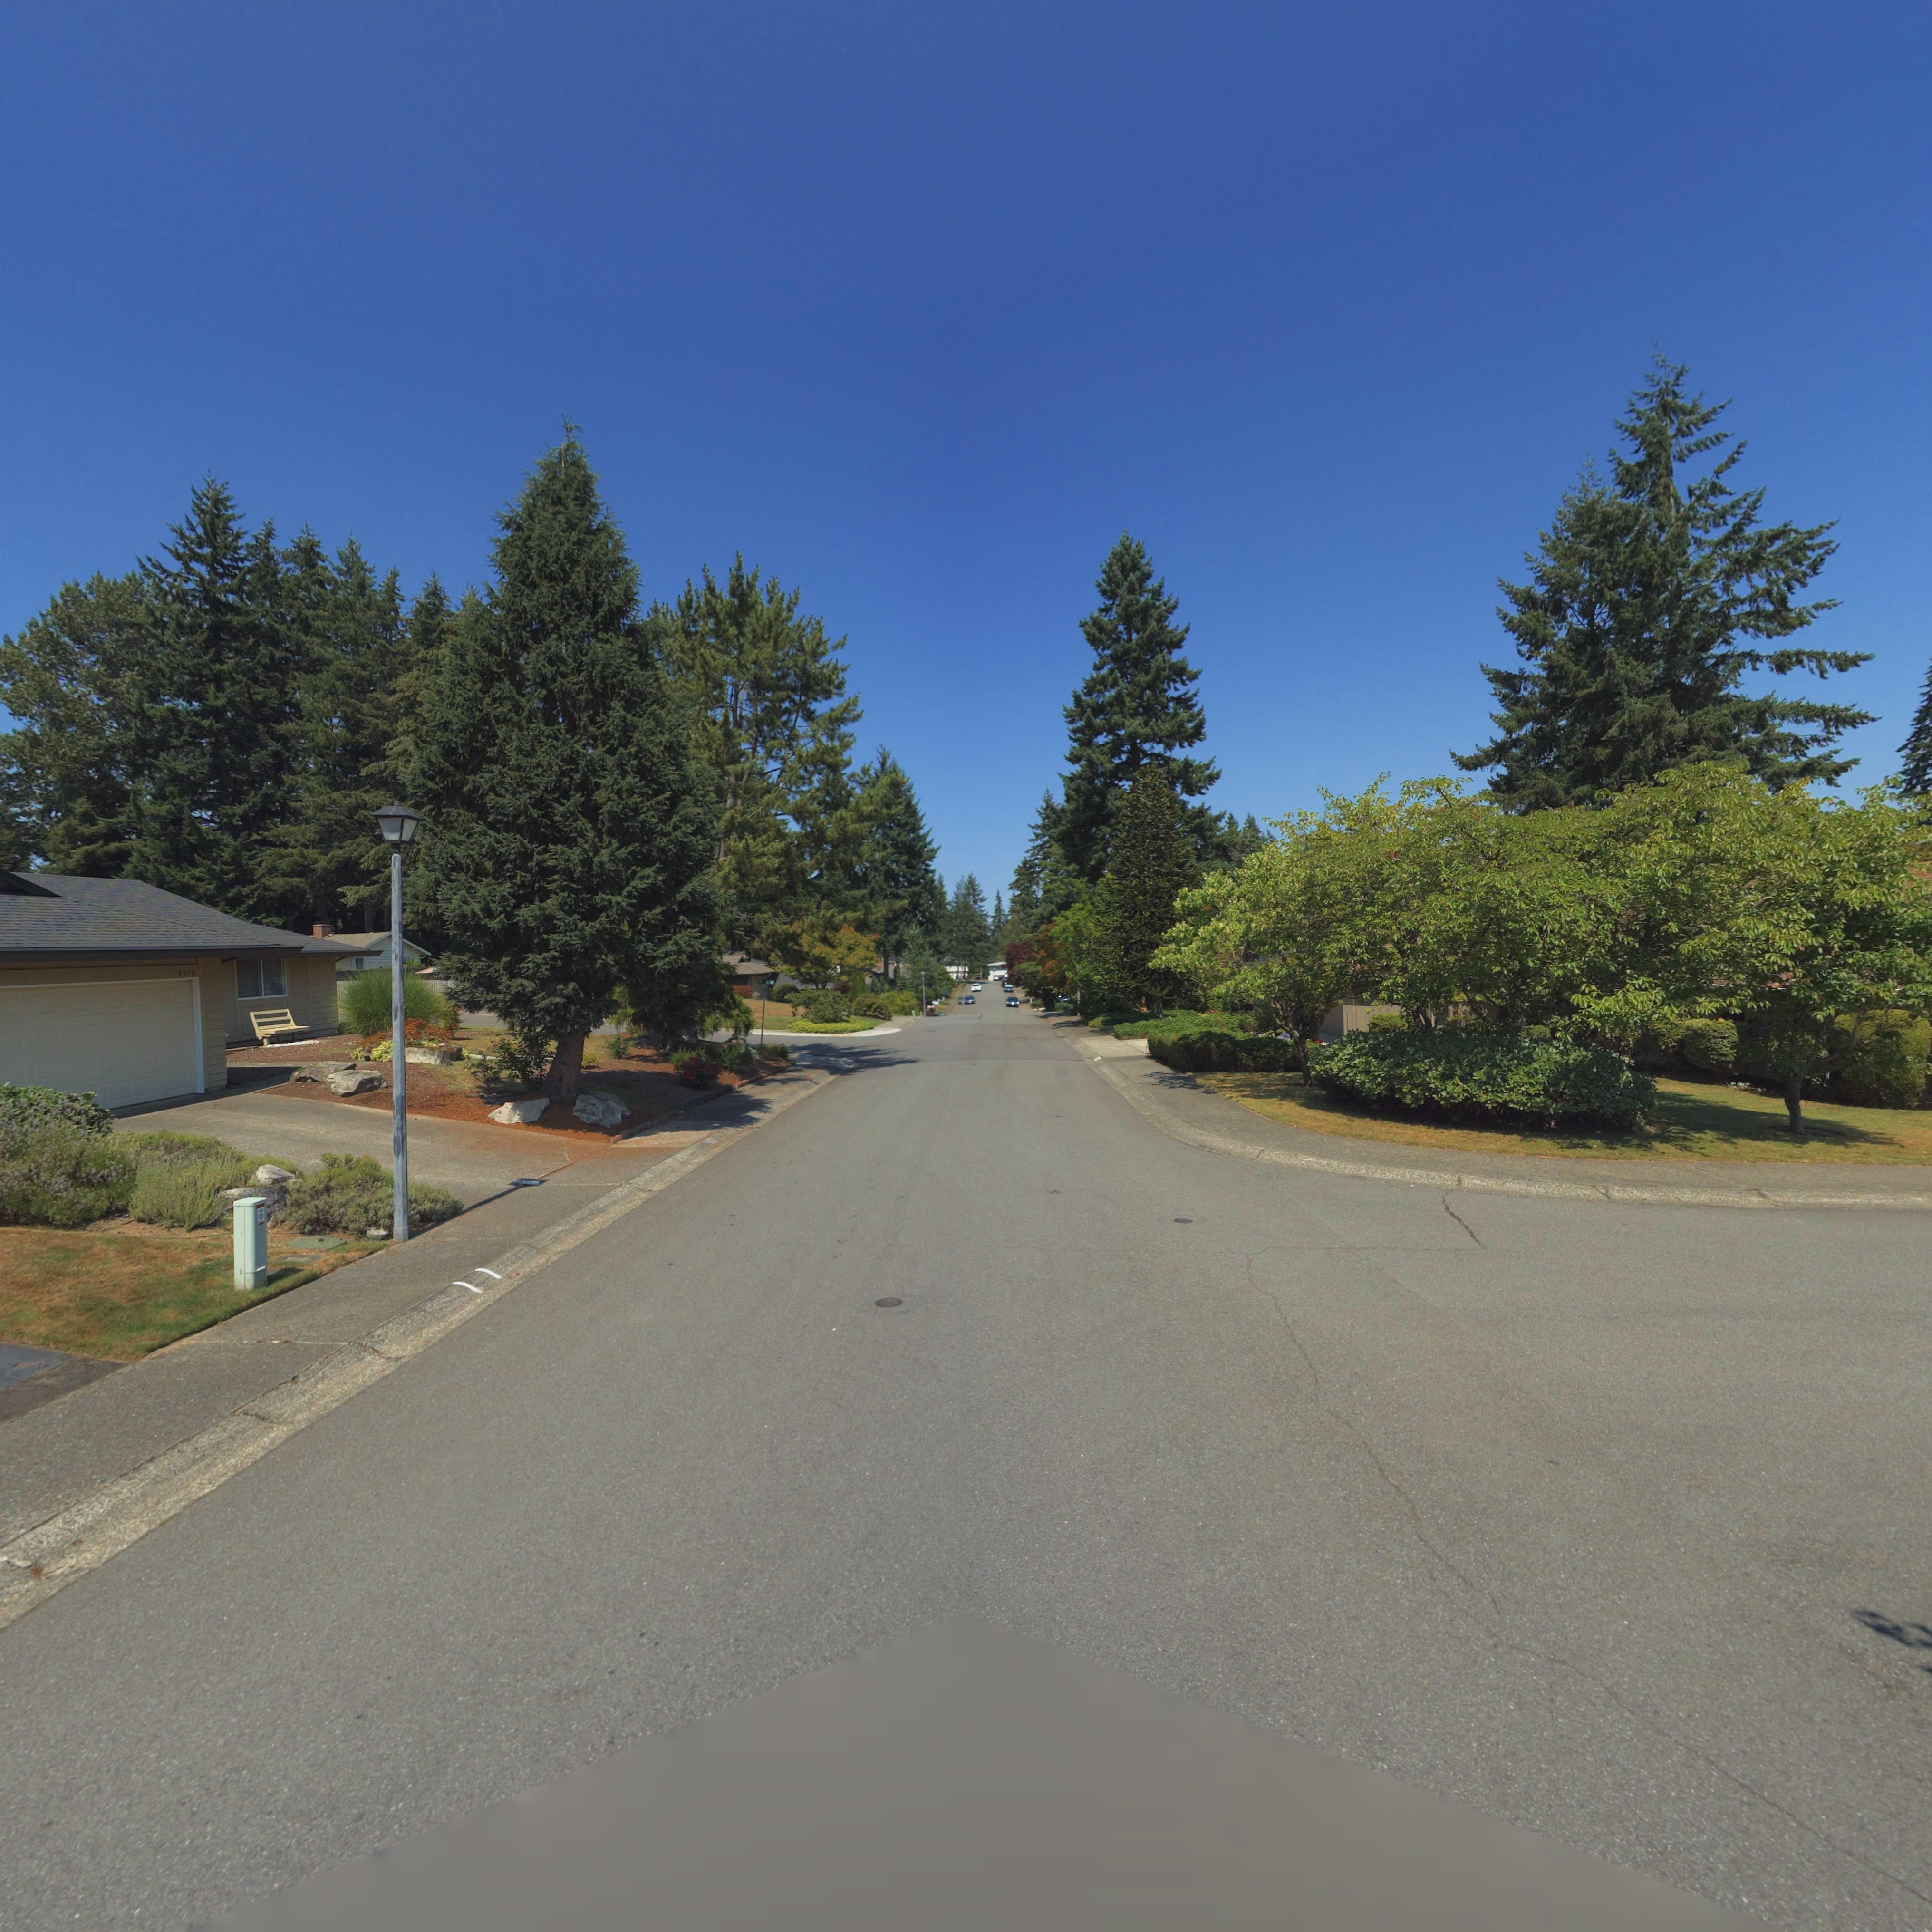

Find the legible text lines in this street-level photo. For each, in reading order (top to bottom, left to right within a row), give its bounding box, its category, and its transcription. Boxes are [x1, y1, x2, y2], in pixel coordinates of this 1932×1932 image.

[177, 967, 196, 978] StreetNumber: 2503